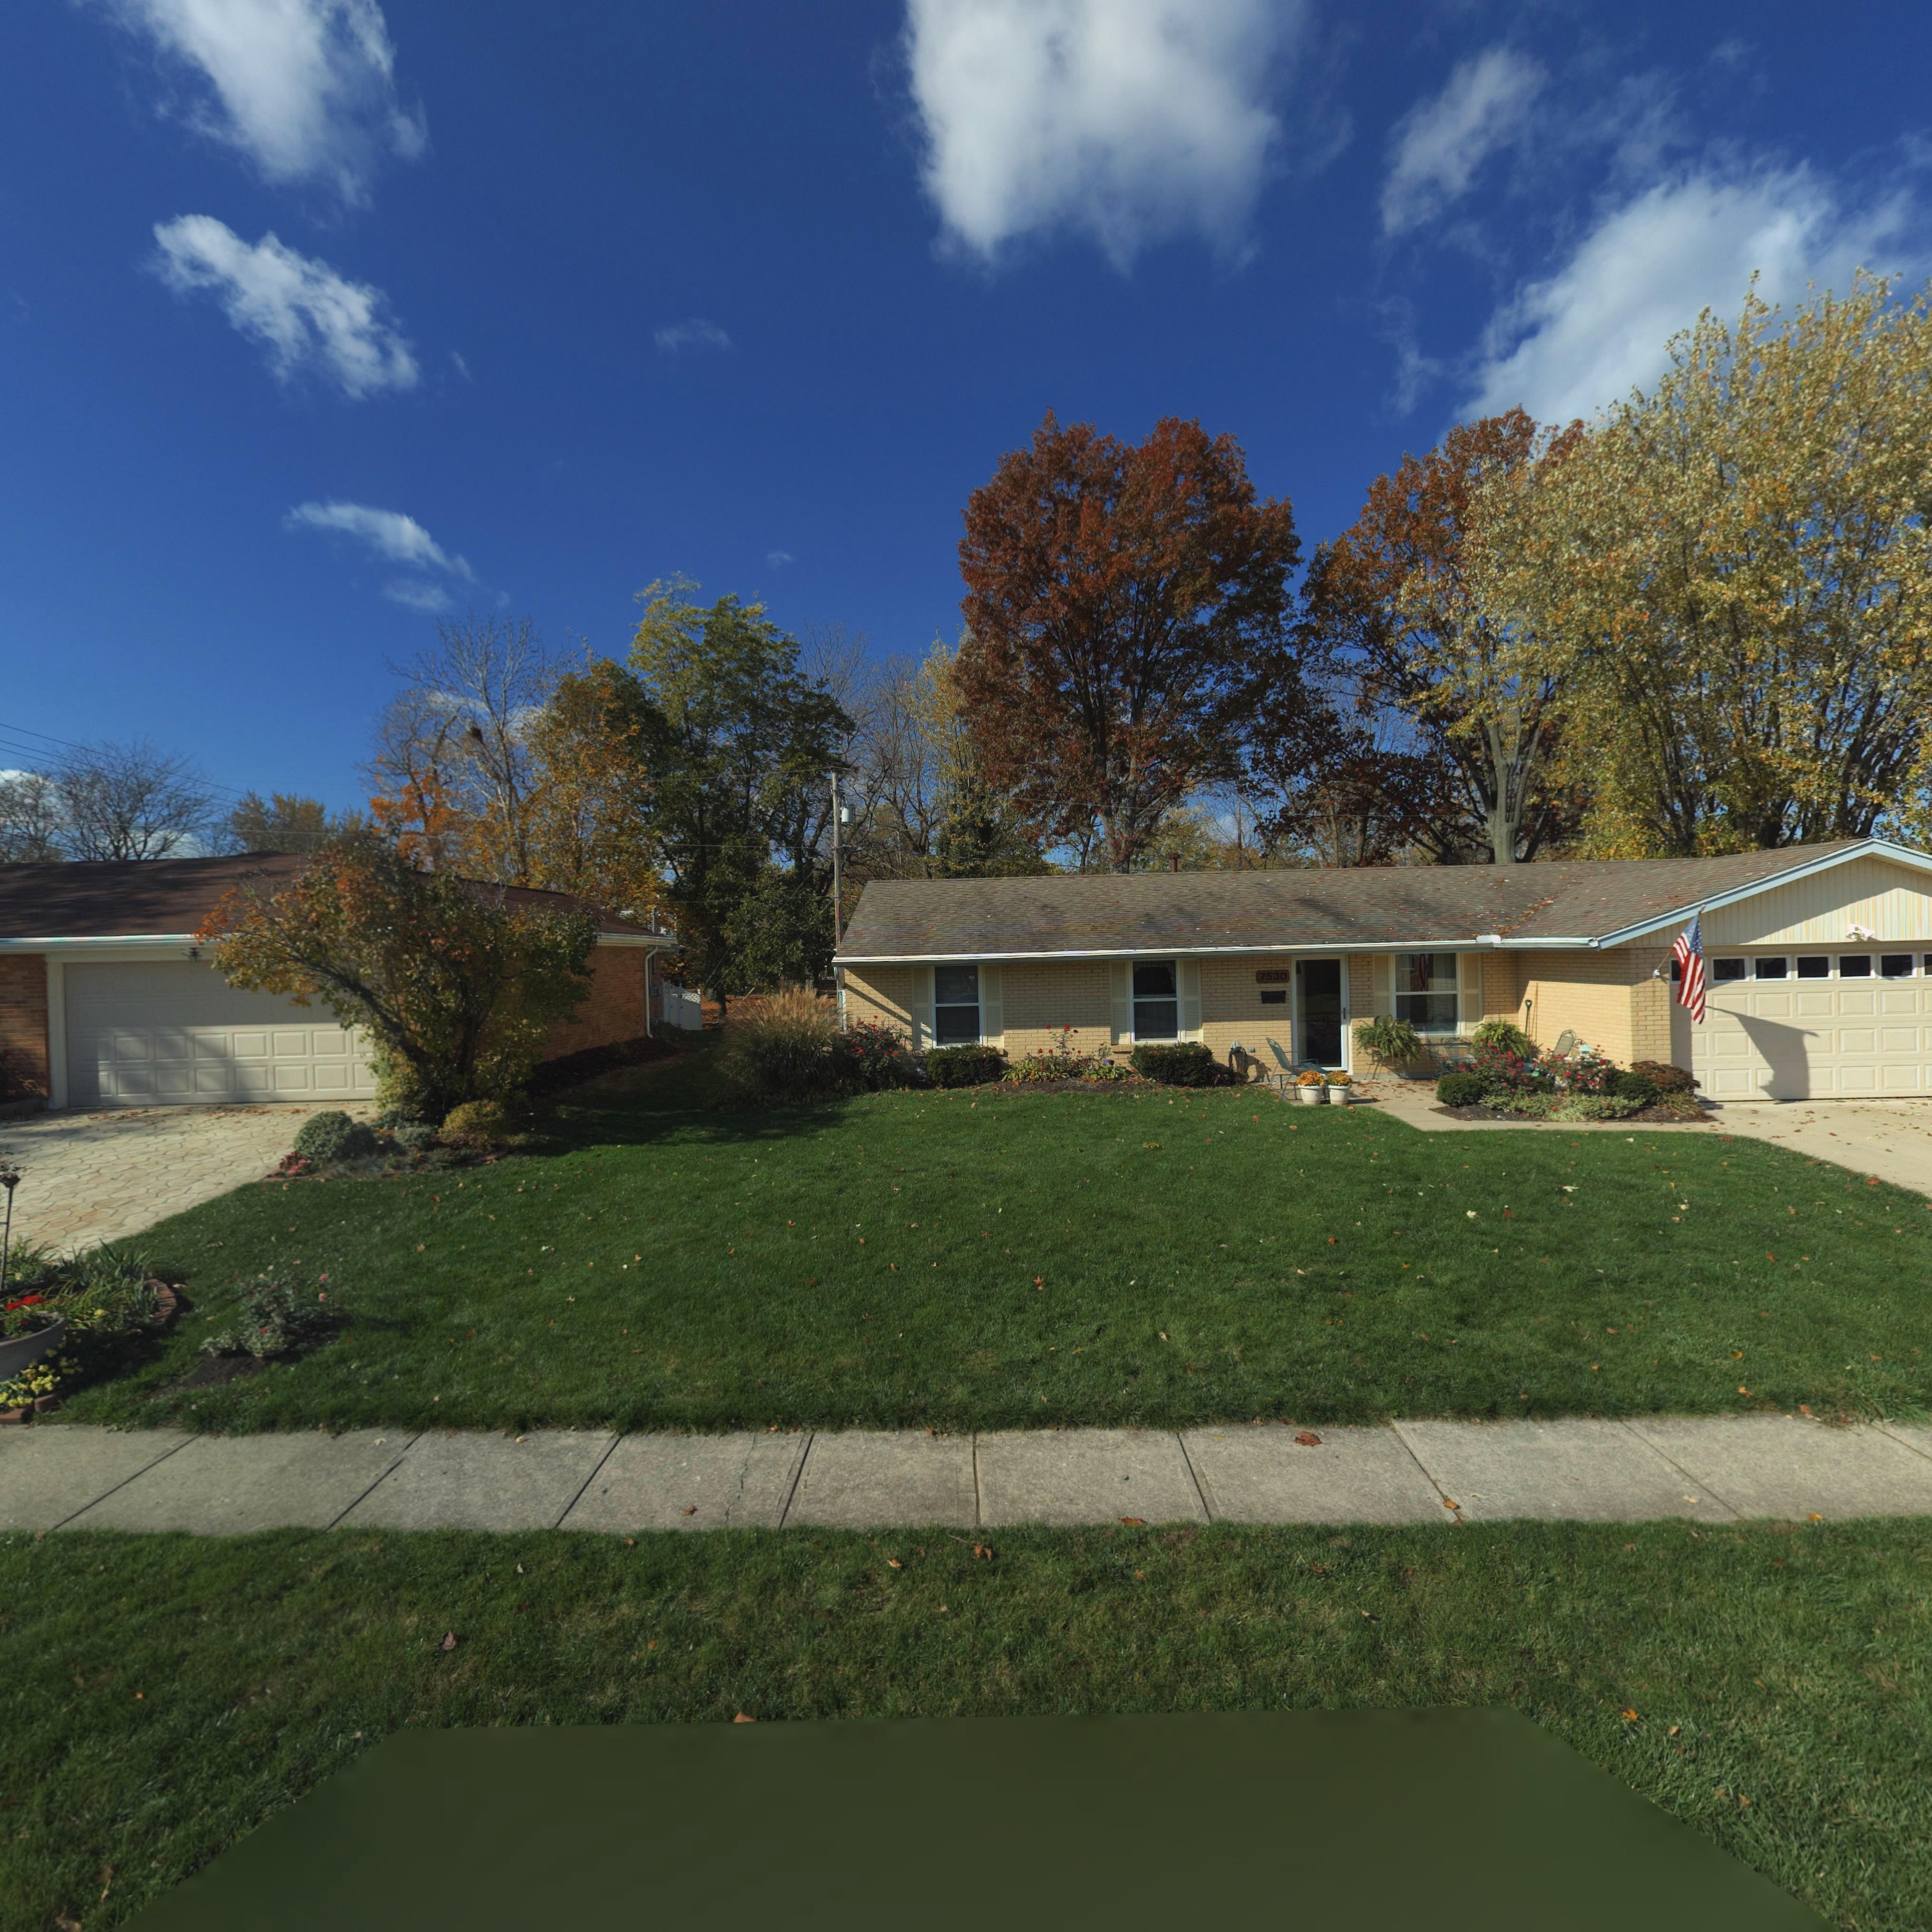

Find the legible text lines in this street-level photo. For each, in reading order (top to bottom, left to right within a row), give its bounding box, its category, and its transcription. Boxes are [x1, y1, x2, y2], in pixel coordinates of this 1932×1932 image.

[1258, 971, 1288, 982] StreetNumber: 7530